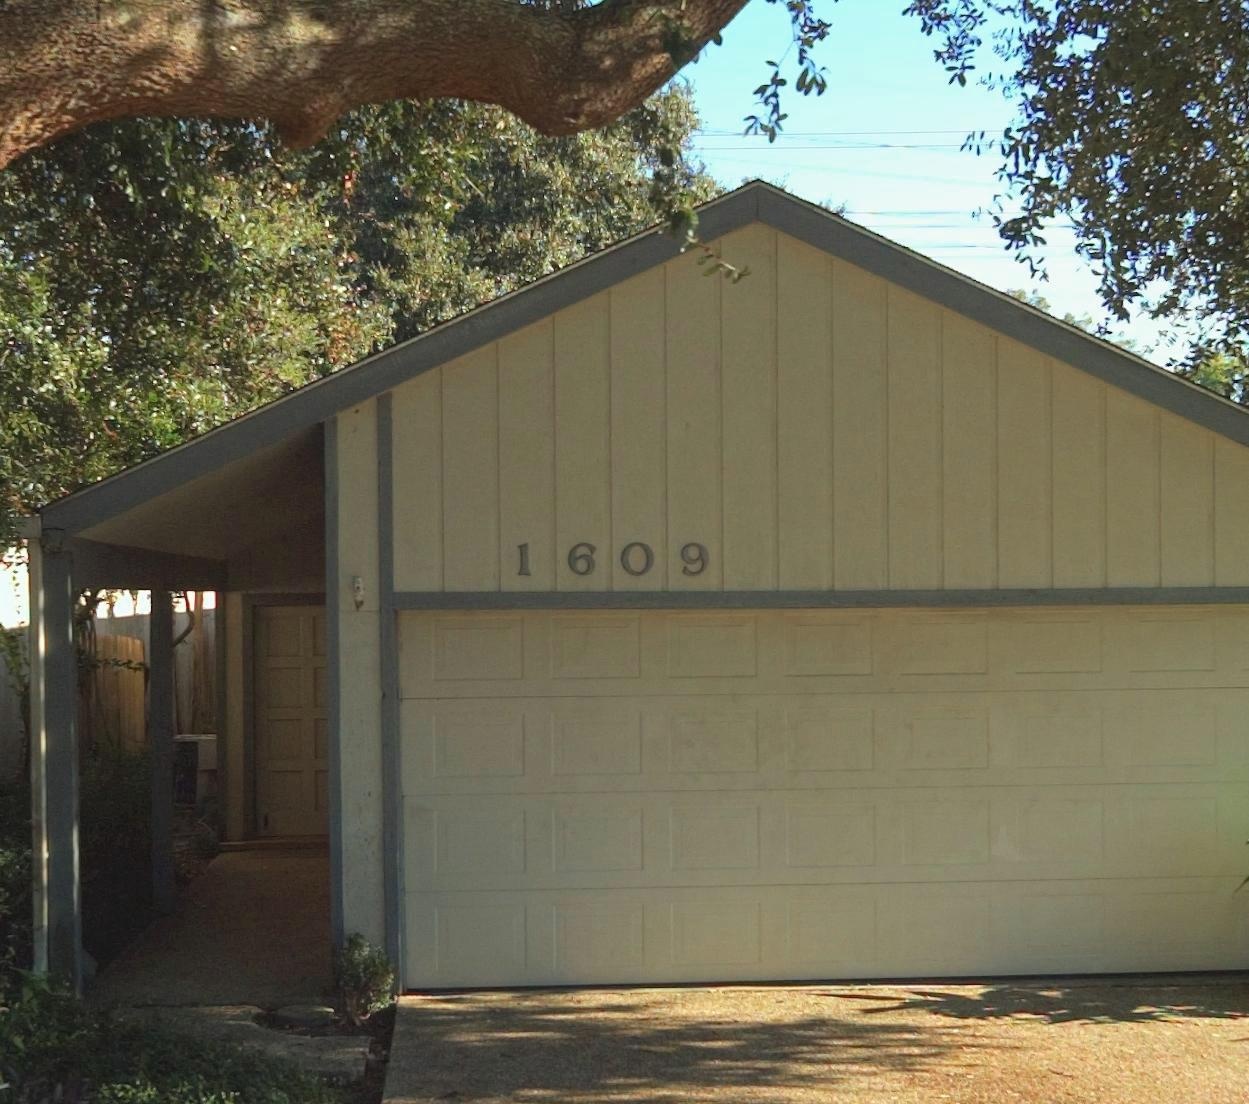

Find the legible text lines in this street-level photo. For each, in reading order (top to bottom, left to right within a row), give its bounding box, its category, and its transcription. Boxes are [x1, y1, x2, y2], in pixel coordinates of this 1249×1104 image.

[514, 538, 713, 579] StreetNumber: 1609